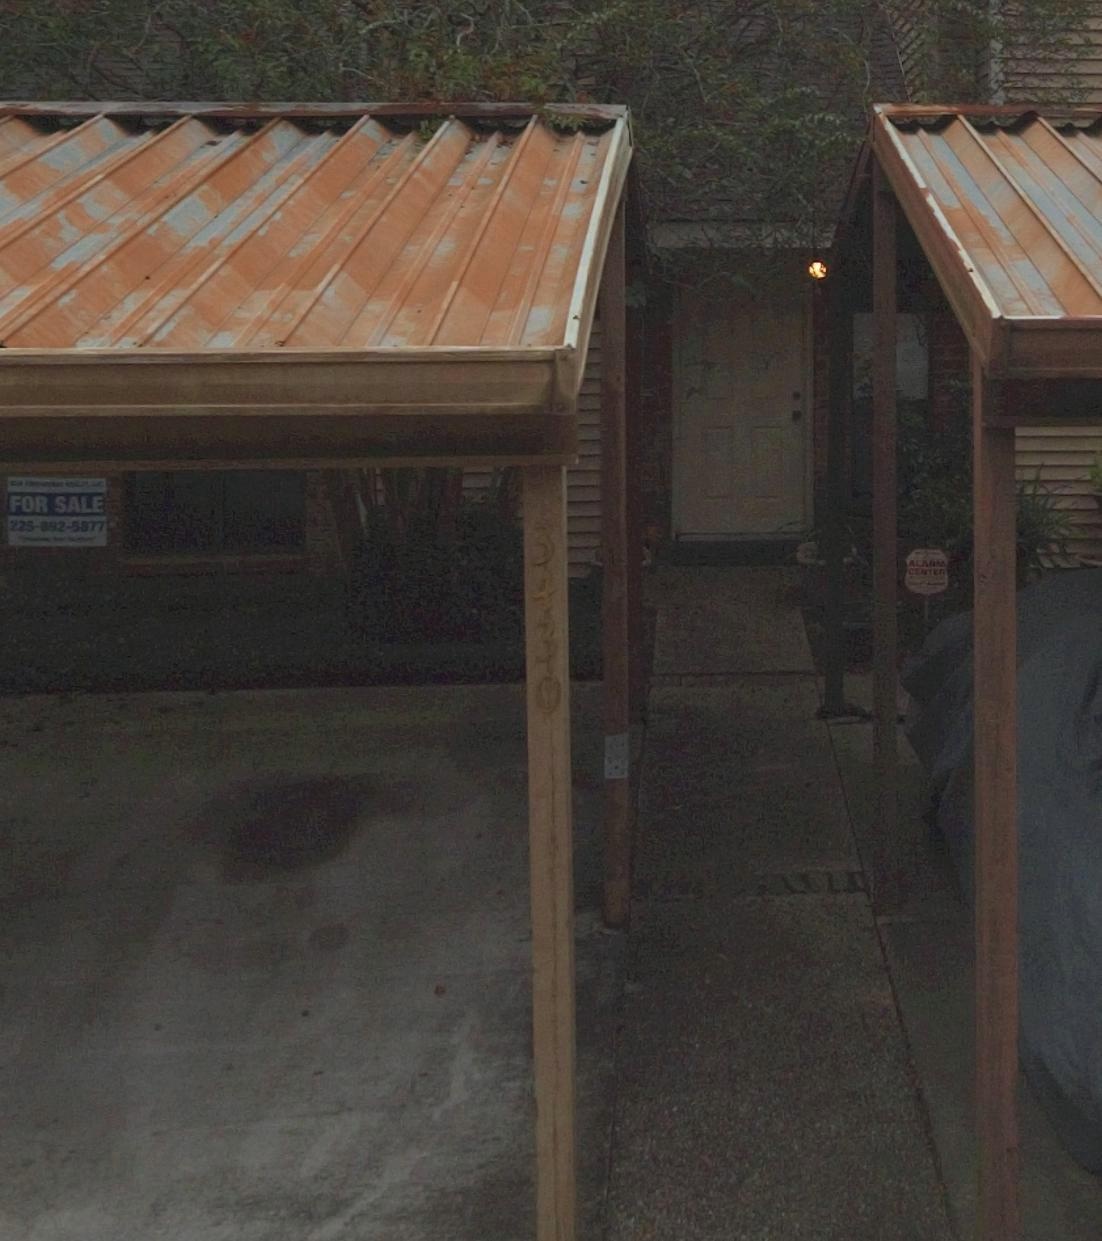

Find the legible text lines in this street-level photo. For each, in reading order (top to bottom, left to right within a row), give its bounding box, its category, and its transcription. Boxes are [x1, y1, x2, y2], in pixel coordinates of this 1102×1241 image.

[8, 495, 105, 514] None: FOR SALE
[9, 520, 106, 532] None: 225-892-5877
[908, 559, 945, 568] None: ALARM
[908, 568, 946, 576] None: CENTER
[528, 514, 562, 717] StreetNumber: 3430